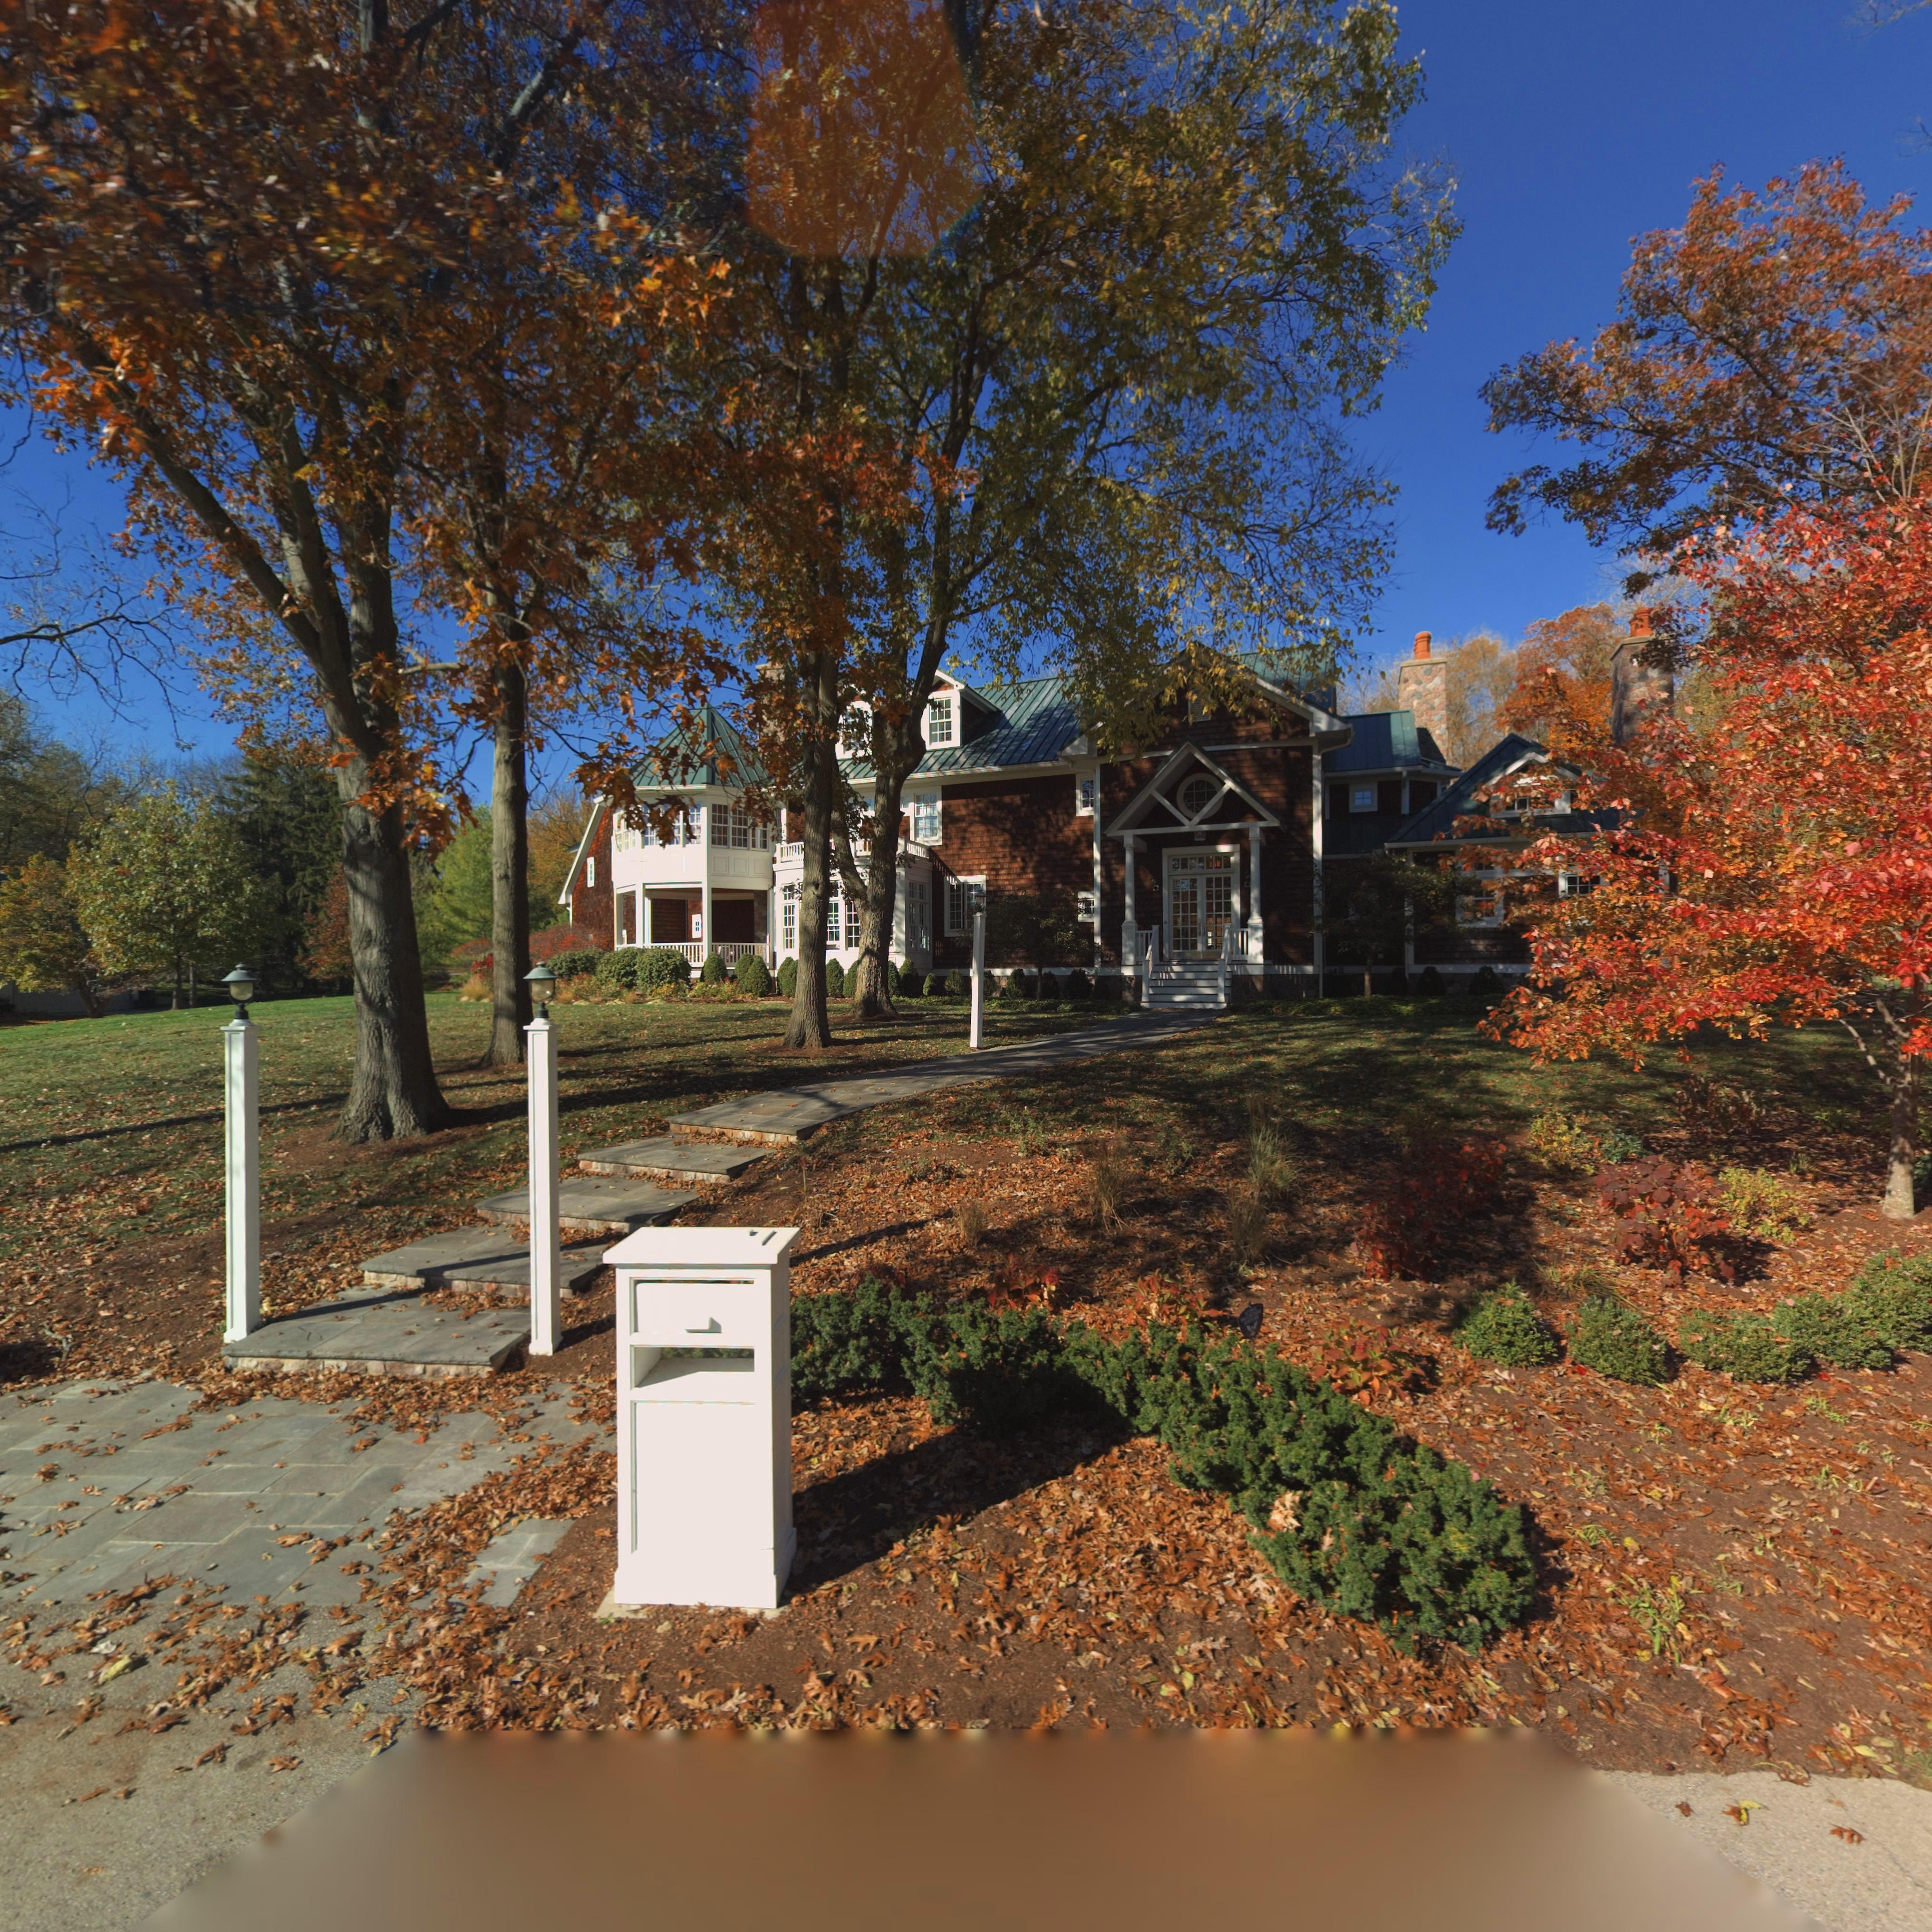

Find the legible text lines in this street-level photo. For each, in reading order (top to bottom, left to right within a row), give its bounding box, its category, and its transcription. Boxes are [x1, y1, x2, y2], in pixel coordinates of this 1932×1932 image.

[1177, 979, 1198, 986] StreetNumber: 4850